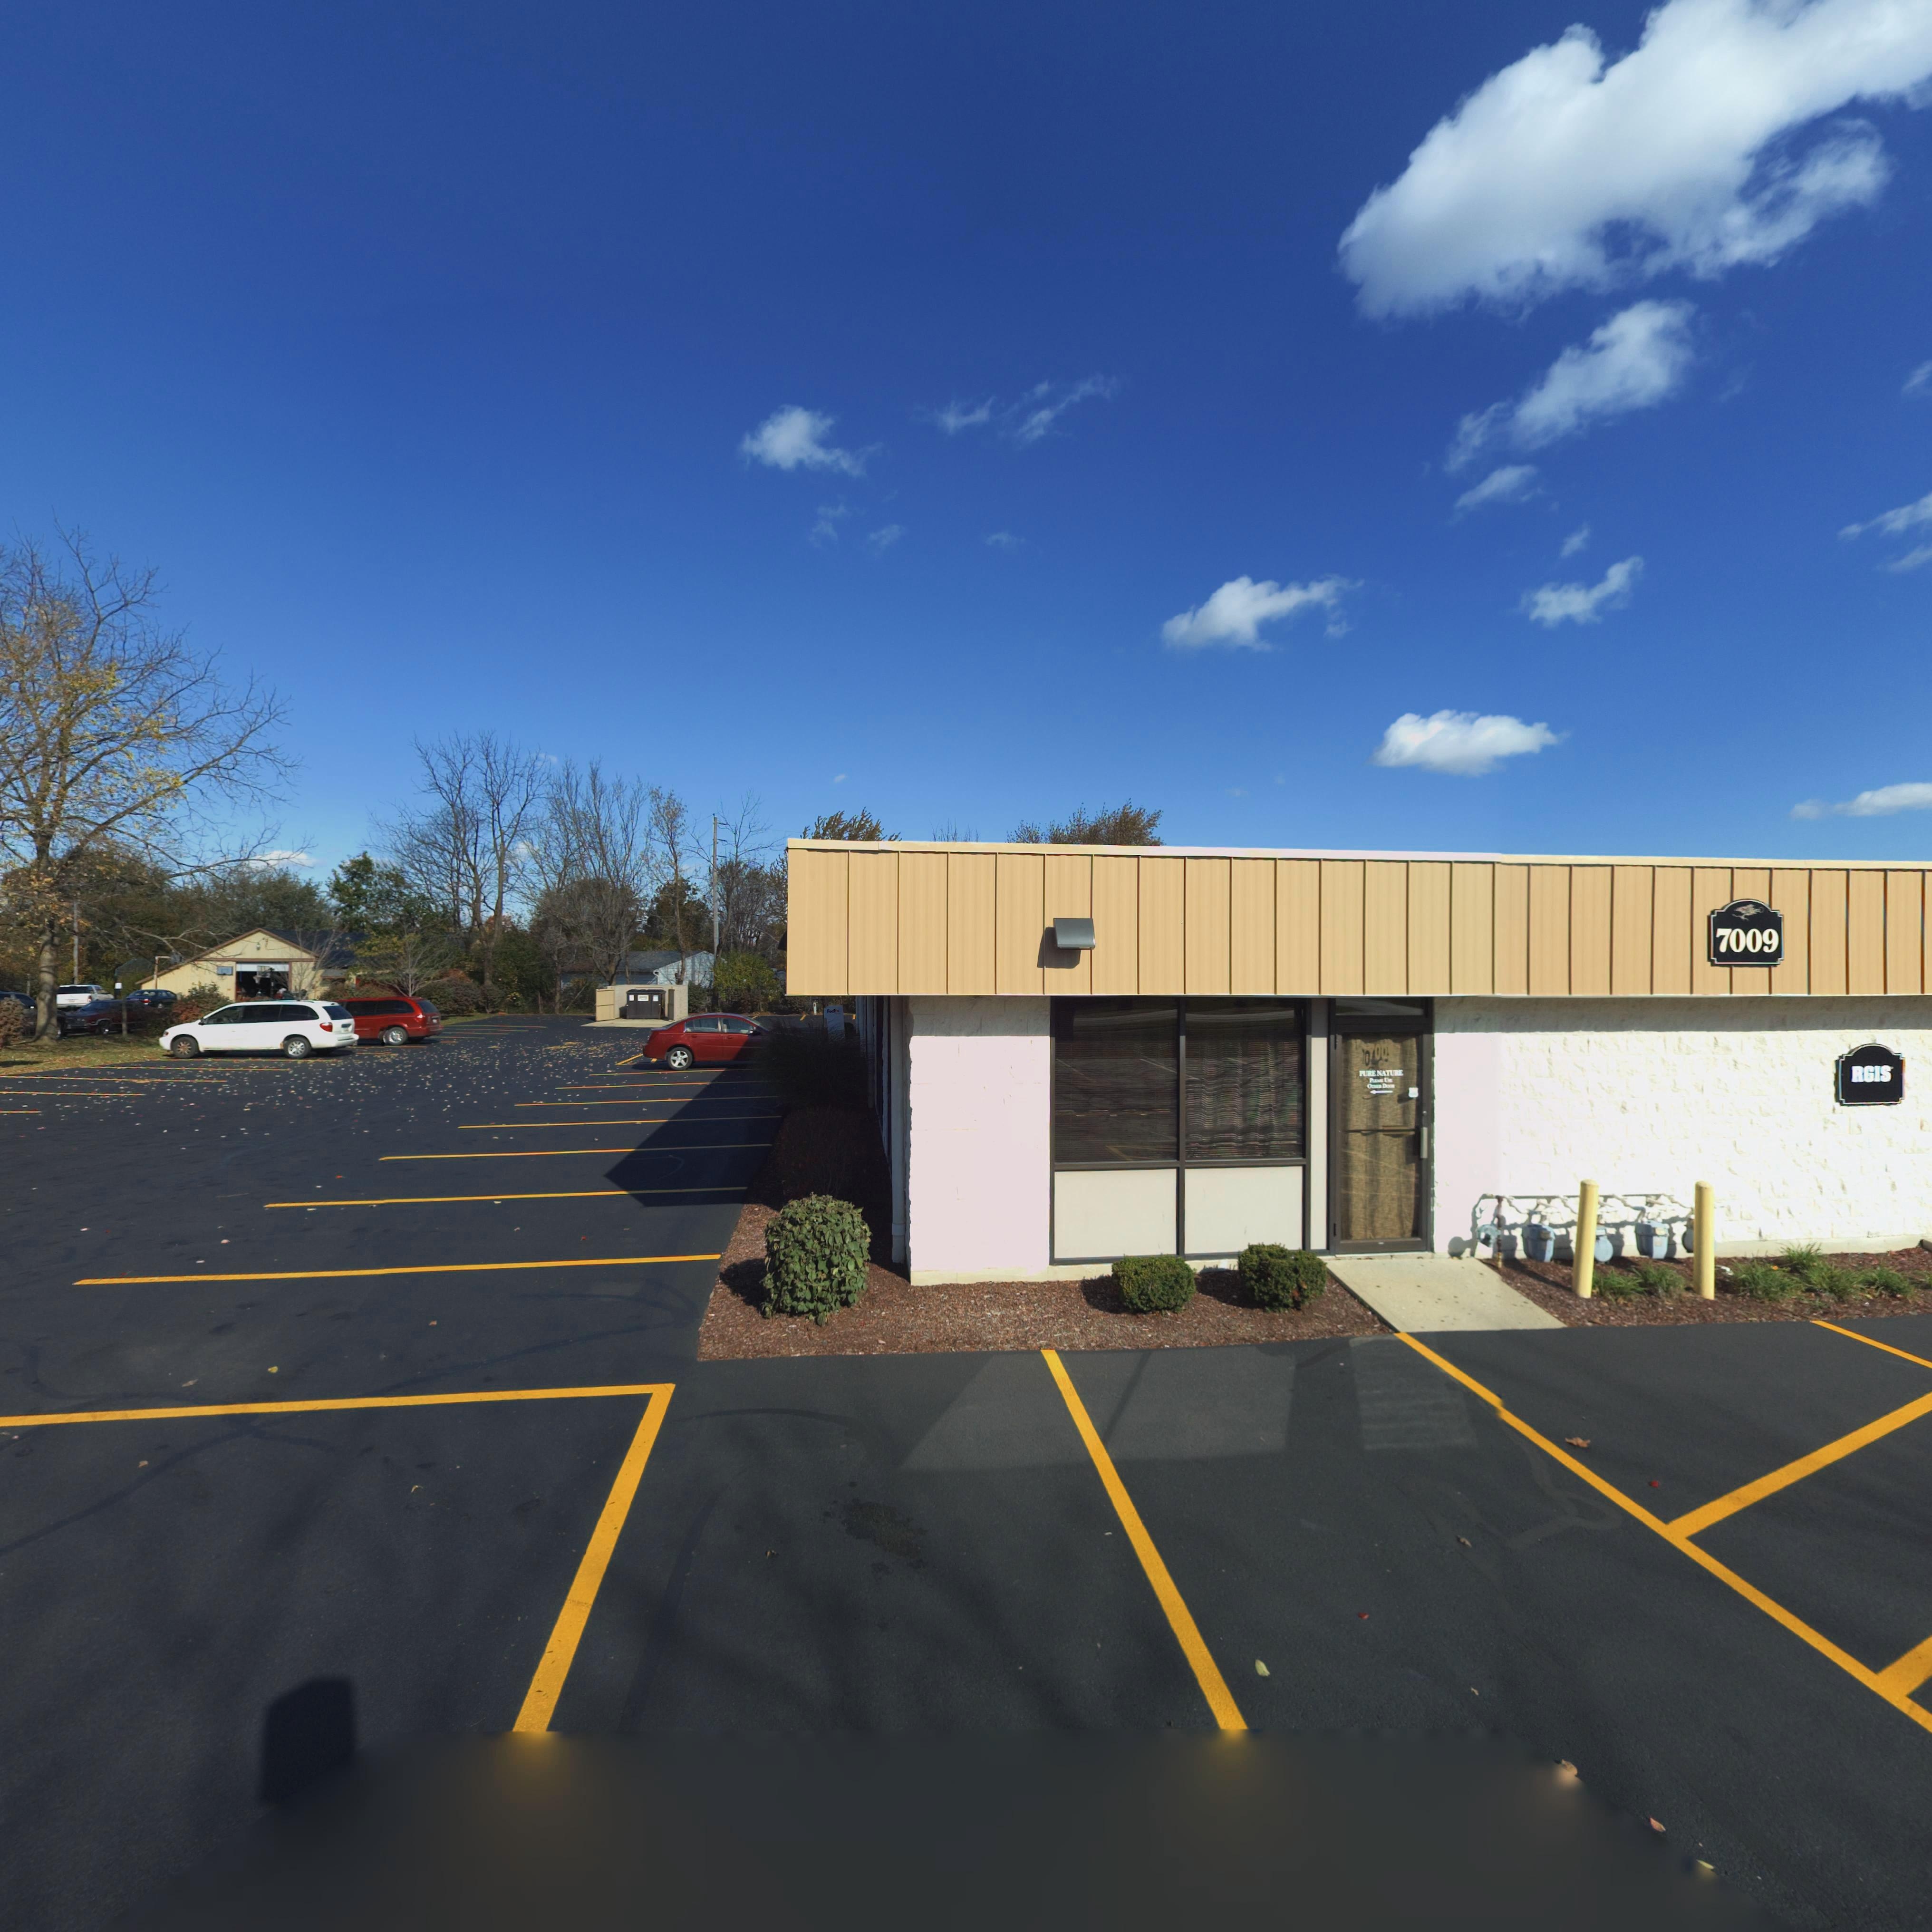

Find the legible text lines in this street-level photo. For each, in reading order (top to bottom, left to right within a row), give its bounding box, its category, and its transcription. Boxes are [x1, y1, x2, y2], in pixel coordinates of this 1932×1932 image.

[1714, 926, 1781, 955] StreetNumber: 7009
[1365, 1042, 1395, 1063] StreetNumber: *00*